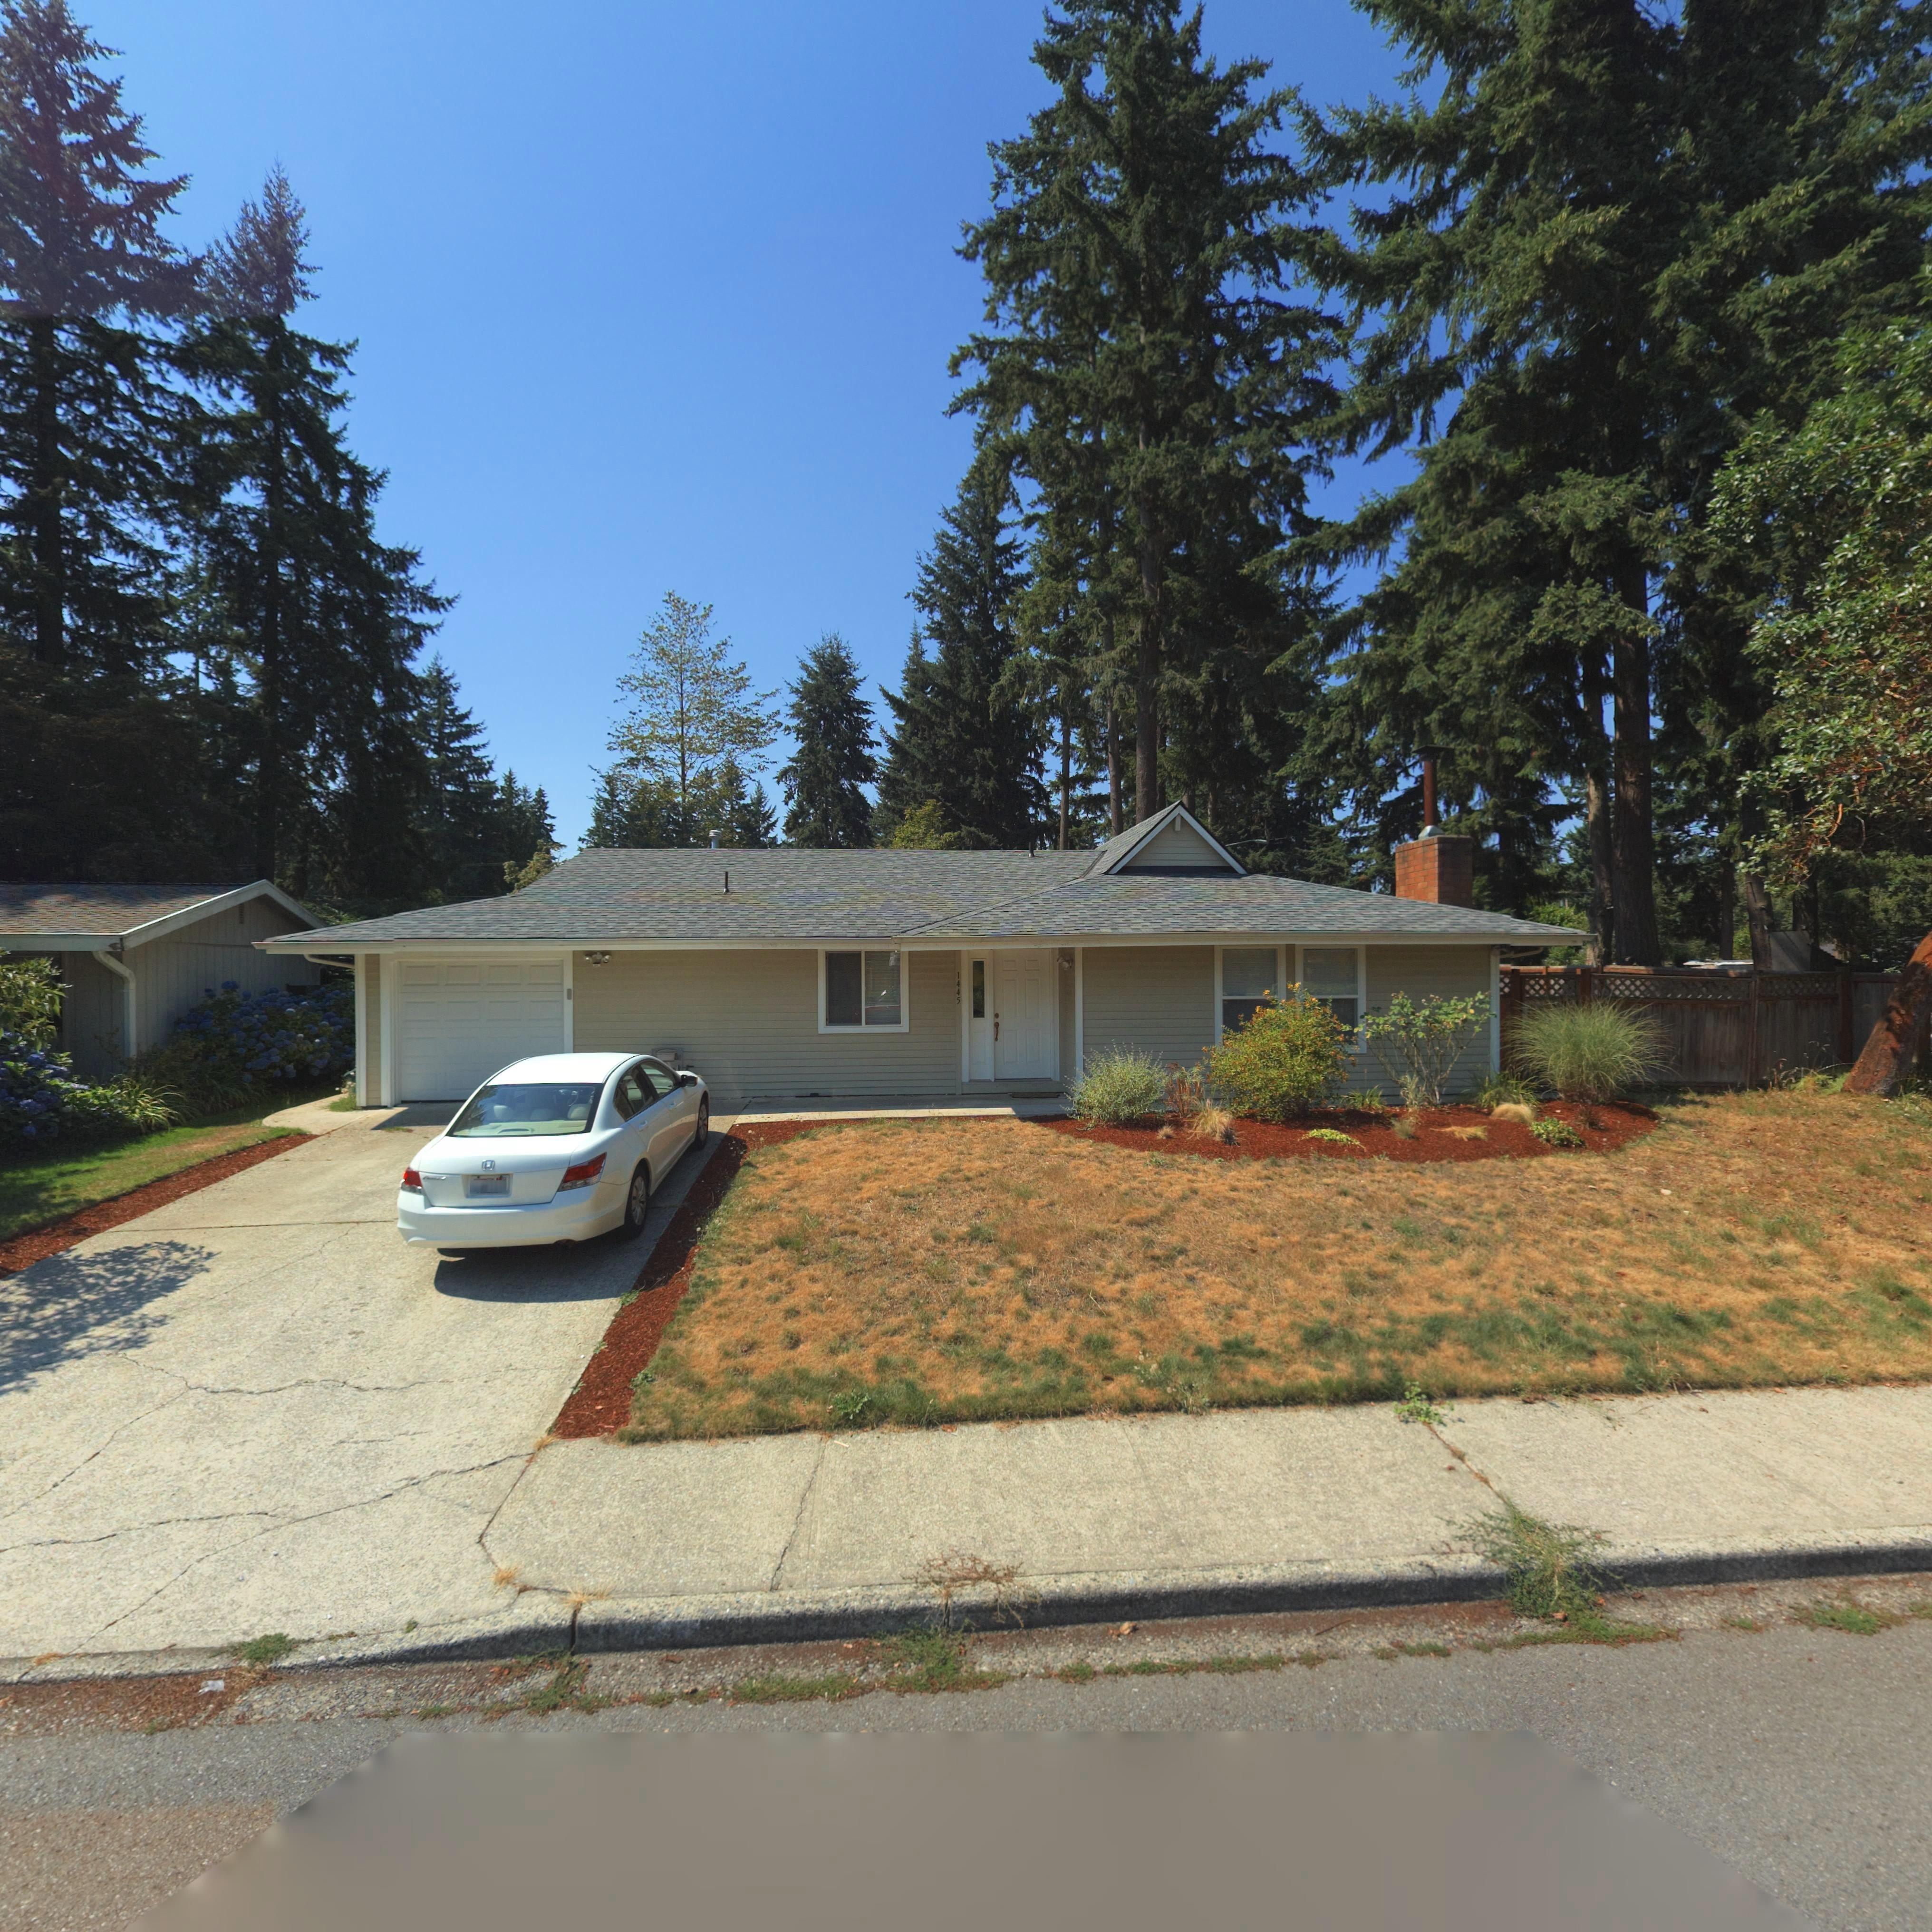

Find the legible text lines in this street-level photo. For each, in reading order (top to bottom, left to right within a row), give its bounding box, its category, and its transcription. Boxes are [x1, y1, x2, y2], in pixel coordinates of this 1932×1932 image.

[956, 970, 960, 1005] StreetNumber: 1445